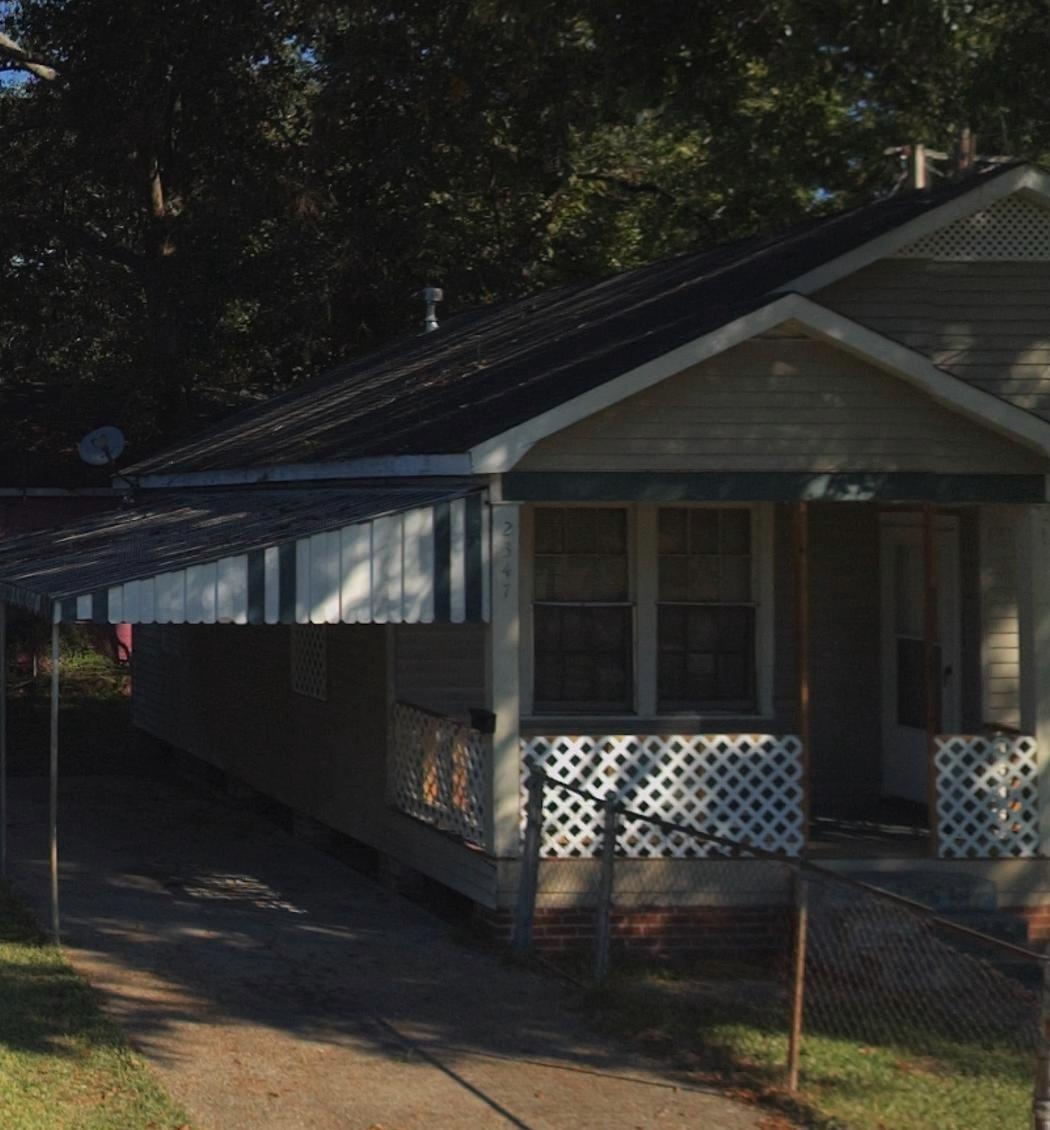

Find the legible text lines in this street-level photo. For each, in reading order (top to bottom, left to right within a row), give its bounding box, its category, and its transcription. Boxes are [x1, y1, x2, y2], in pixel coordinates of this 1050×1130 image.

[498, 518, 515, 601] StreetNumber: 2347